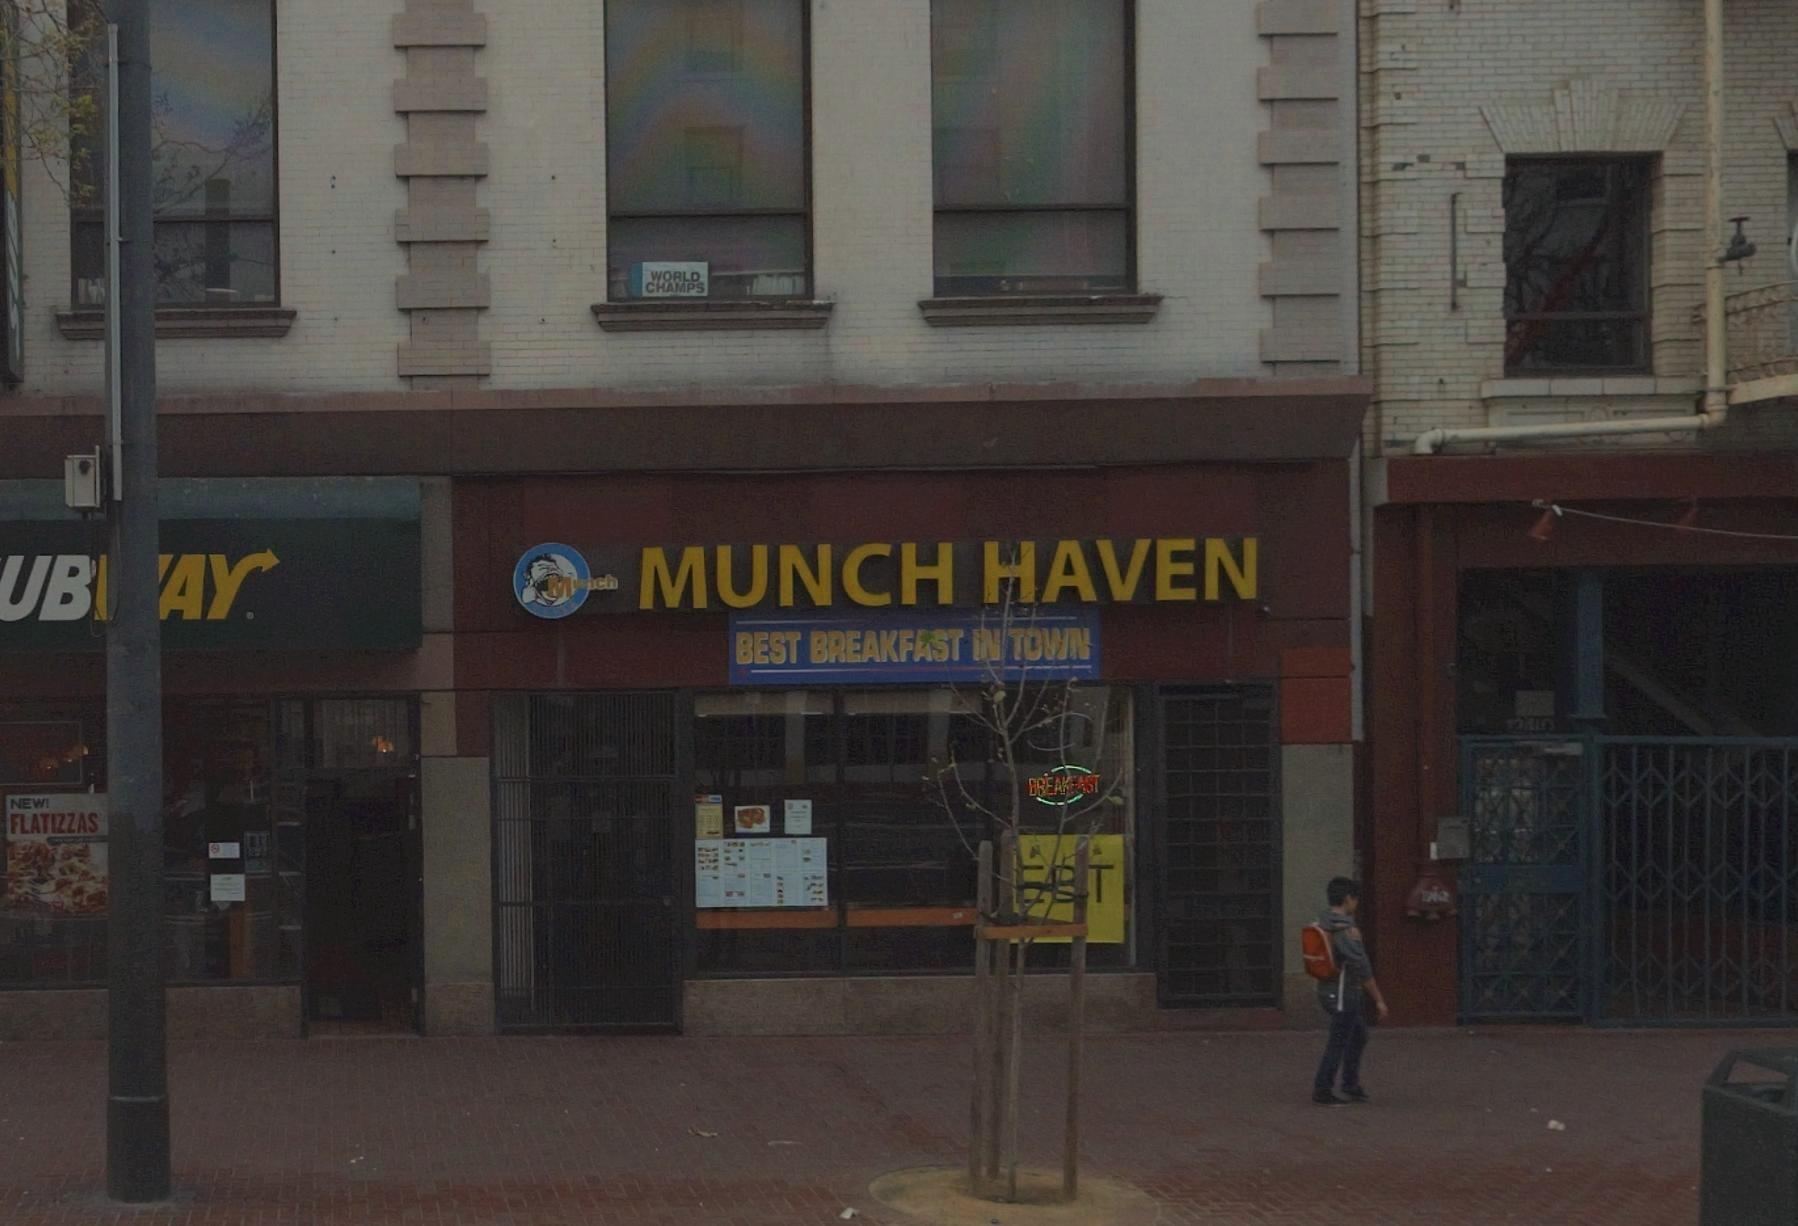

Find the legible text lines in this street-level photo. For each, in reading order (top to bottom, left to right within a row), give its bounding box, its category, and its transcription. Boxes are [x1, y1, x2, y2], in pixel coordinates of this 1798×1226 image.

[647, 268, 703, 283] None: WORLD
[642, 279, 708, 296] None: CHAMPS
[34, 548, 267, 624] BusinessName: B*AY
[544, 570, 621, 601] None: M**ch
[632, 530, 1263, 615] BusinessName: MUNCH HAVEN
[733, 624, 1094, 668] None: BEST BREAKFAST IN TOWN
[1025, 771, 1105, 800] None: BREA****T
[8, 795, 52, 812] None: NEW!
[8, 809, 102, 837] None: FLATIZZAS